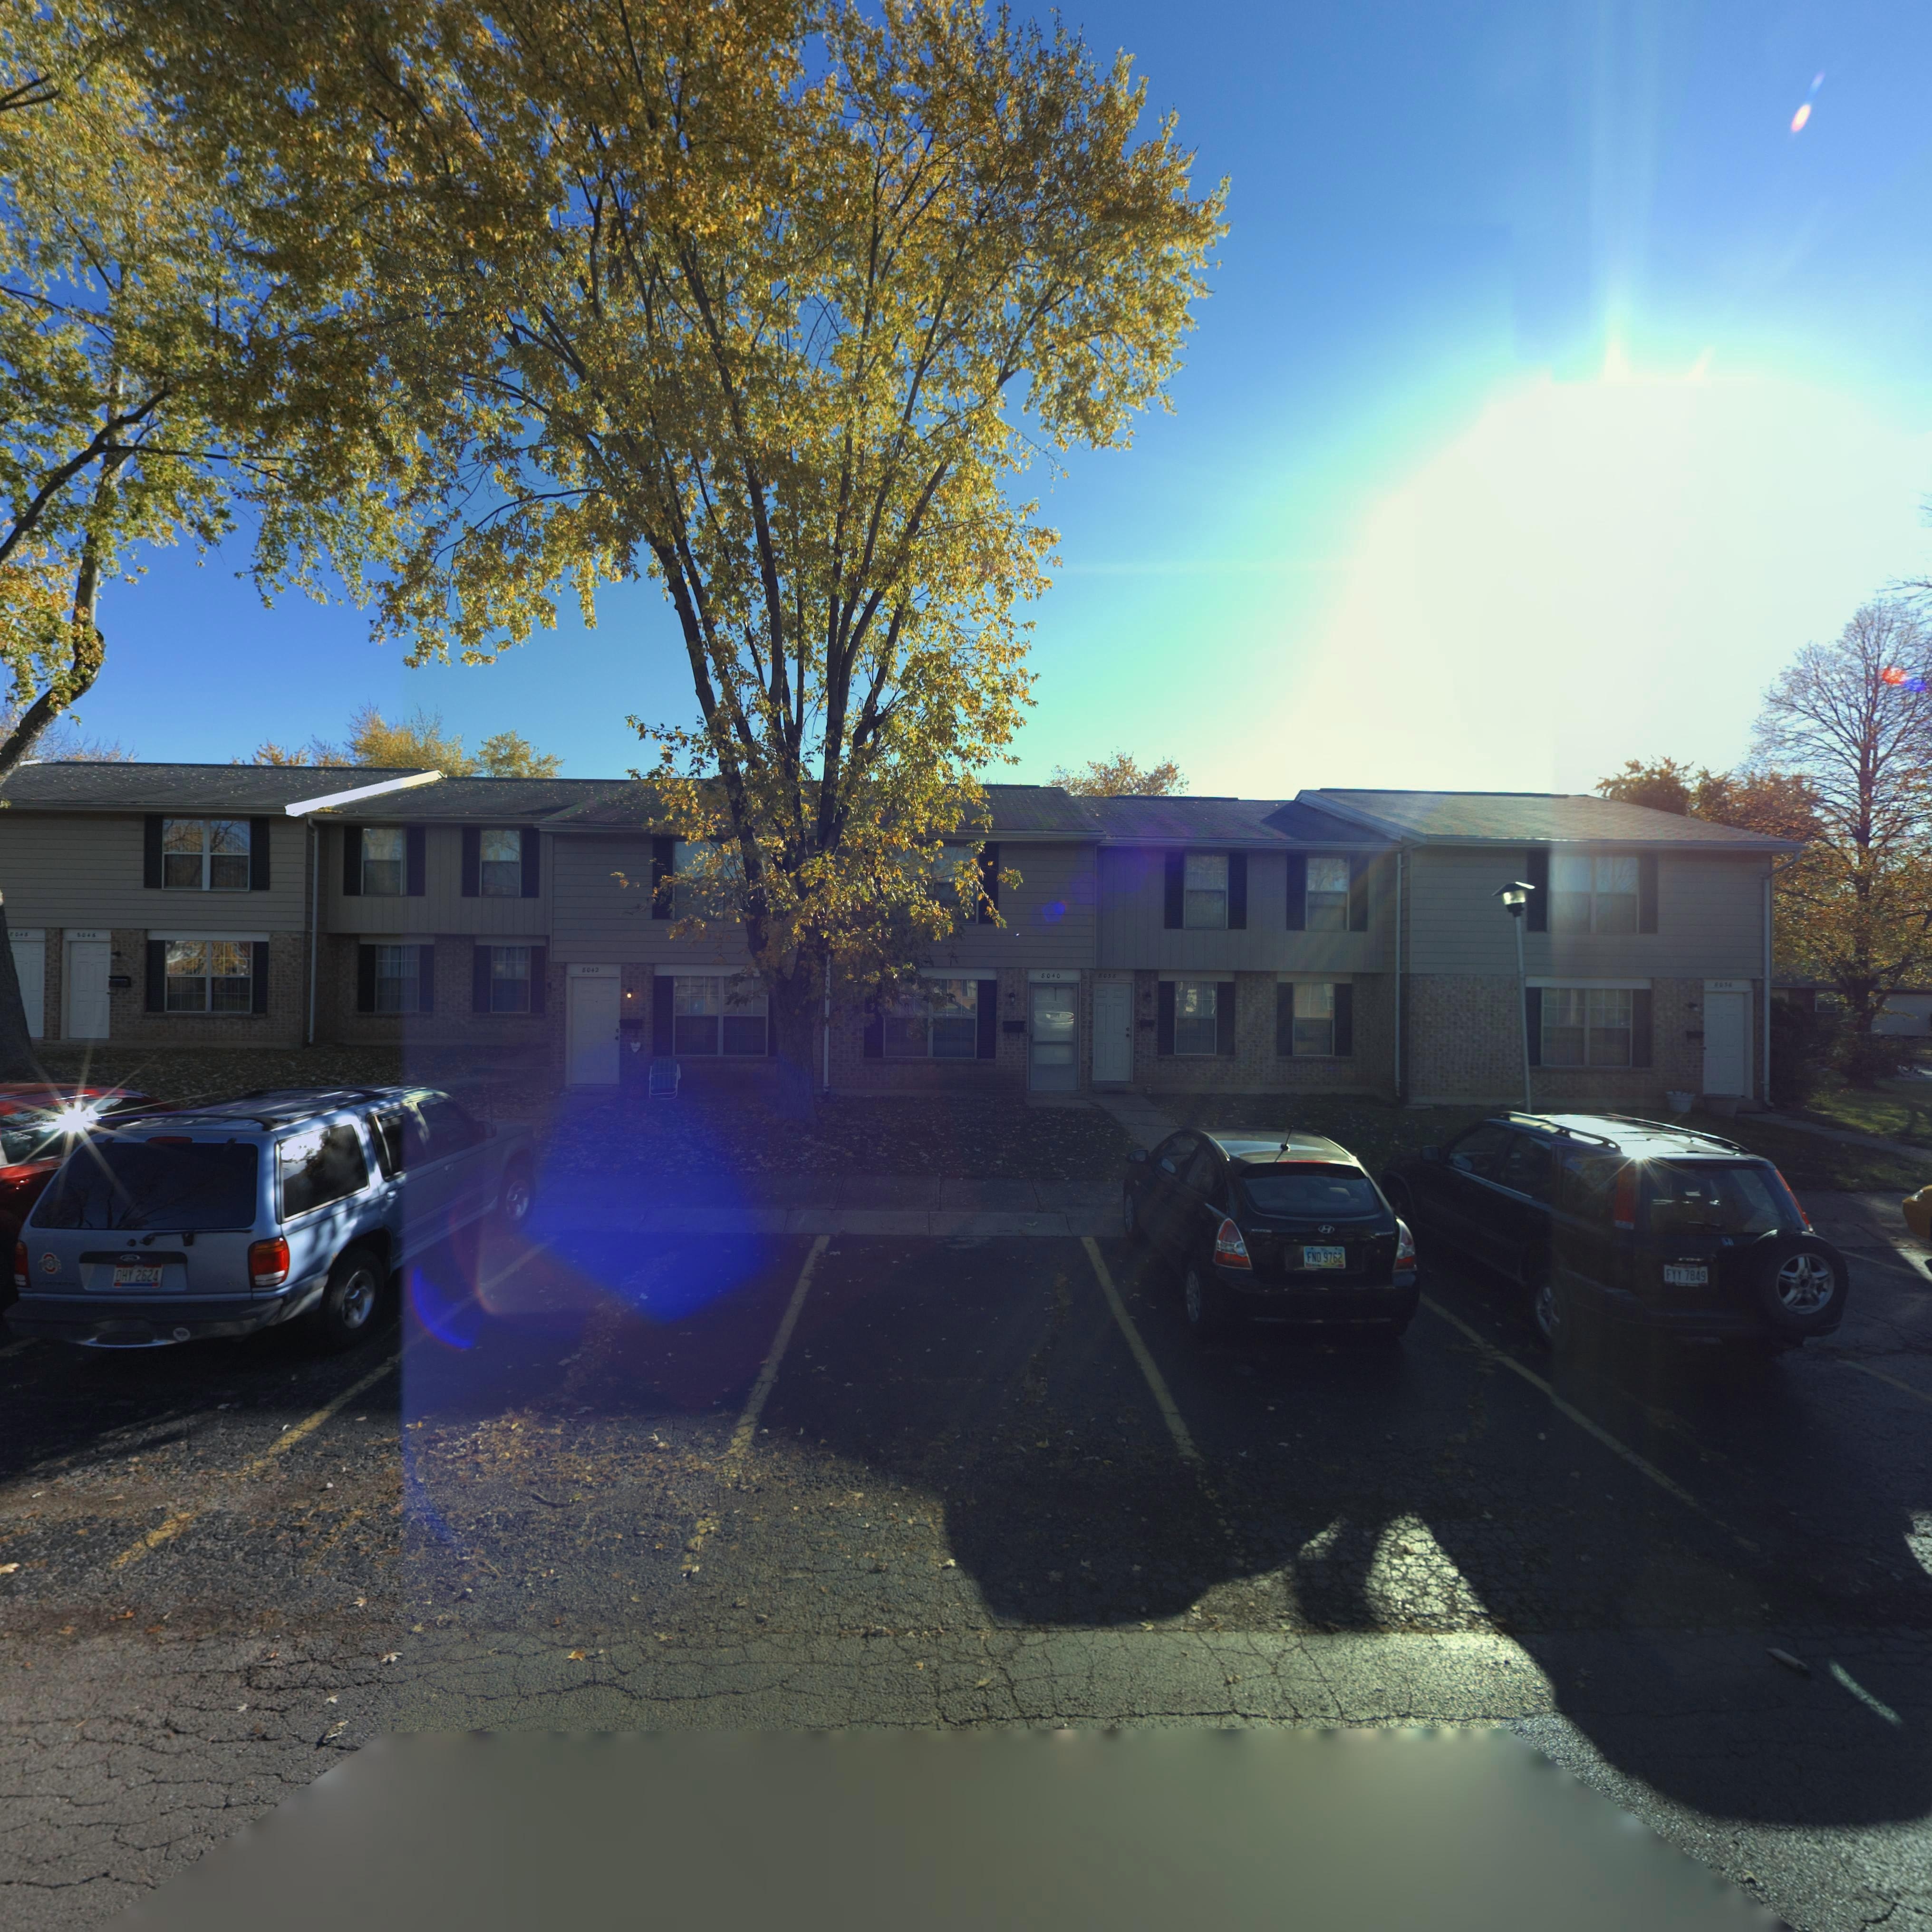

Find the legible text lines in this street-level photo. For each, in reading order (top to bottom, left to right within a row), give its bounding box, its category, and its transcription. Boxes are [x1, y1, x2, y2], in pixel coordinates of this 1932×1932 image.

[9, 931, 29, 937] StreetNumber: 8048
[77, 932, 96, 938] StreetNumber: 8046
[581, 967, 600, 973] StreetNumber: 8042
[1041, 973, 1061, 979] StreetNumber: 8040
[1097, 973, 1117, 979] StreetNumber: 8038
[1712, 980, 1734, 989] StreetNumber: 8036